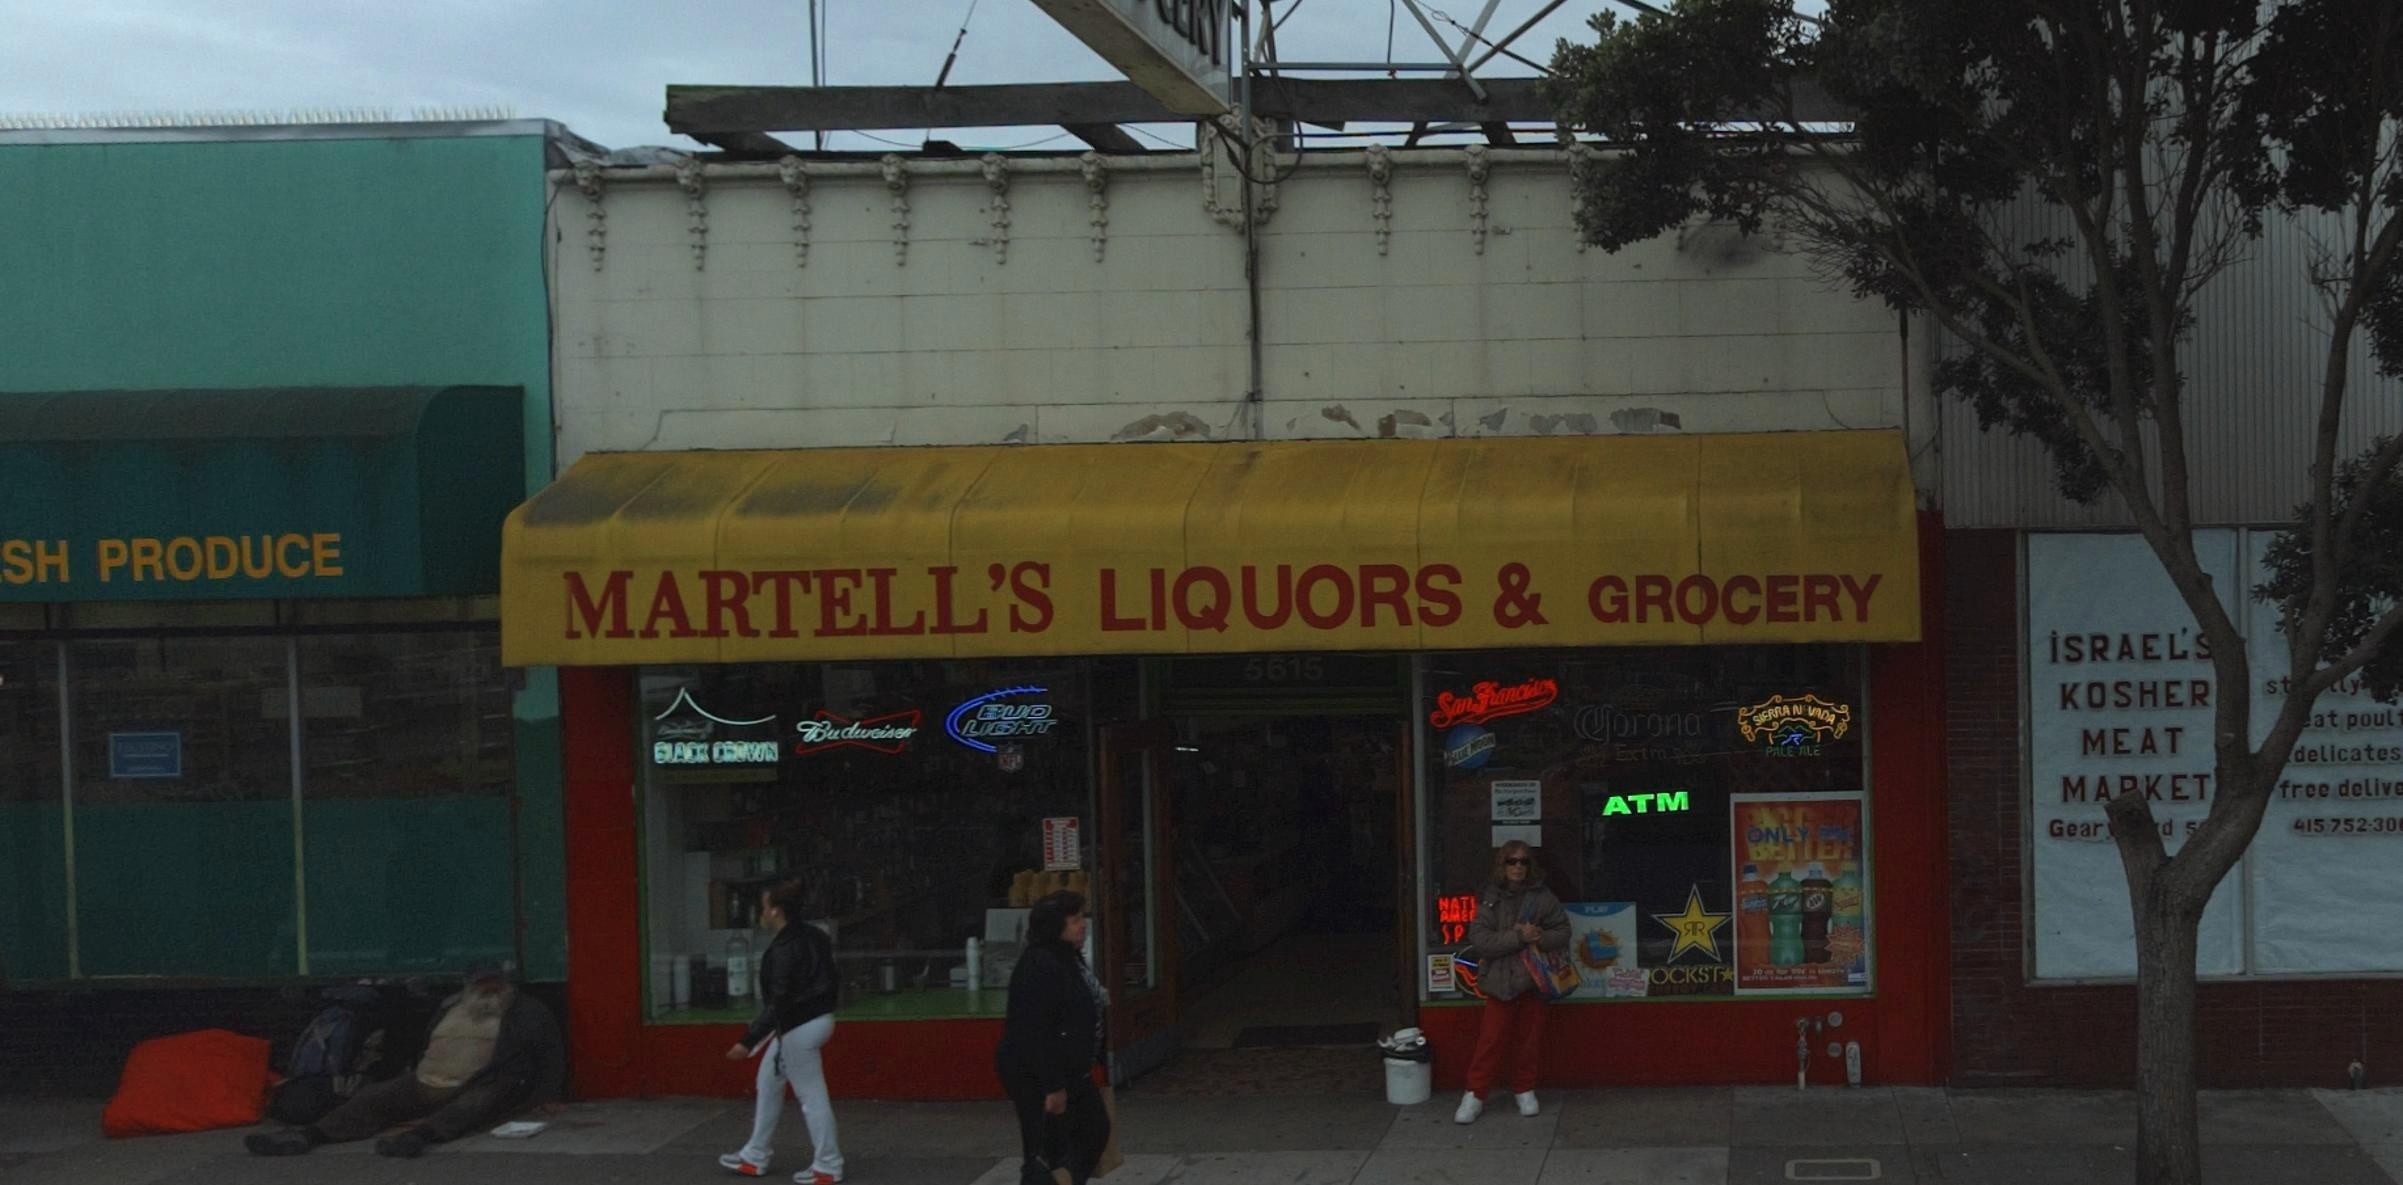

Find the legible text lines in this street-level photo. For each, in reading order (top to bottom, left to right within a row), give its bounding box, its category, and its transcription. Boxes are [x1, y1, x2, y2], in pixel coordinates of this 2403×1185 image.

[1, 530, 346, 588] None: SH PRODUCE
[557, 555, 1890, 646] BusinessName: *ARTELL'S LIQUORS & GROCERY
[2044, 630, 2191, 667] None: ISRAEL
[1241, 653, 1328, 685] StreetNumber: 5615
[2057, 676, 2214, 714] None: KOSHER
[2263, 676, 2281, 697] None: s
[2346, 676, 2362, 699] None: y
[797, 717, 920, 746] None: Budw*se*
[957, 716, 1061, 740] None: LIGHT
[973, 702, 1055, 722] None: BUD
[1426, 687, 1475, 732] None: San
[1568, 699, 1706, 749] None: *orona
[1763, 743, 1824, 760] None: PALE ALE
[1748, 699, 1840, 729] None: SIERRA N*VADA
[2079, 724, 2186, 759] None: MEAT
[2291, 741, 2402, 767] None: delicates
[2311, 706, 2398, 733] None: at poul
[2057, 771, 2214, 806] None: MA*KET
[2276, 775, 2395, 801] None: free deliv
[1597, 787, 1693, 820] None: ATM
[2046, 815, 2106, 841] None: Gear
[2158, 815, 2175, 840] None: d
[2290, 814, 2399, 836] None: 415 752-30
[1435, 893, 1471, 912] None: NAT
[1437, 907, 1470, 925] None: AME
[1438, 920, 1467, 948] None: SP
[1648, 961, 1725, 988] None: OCKST